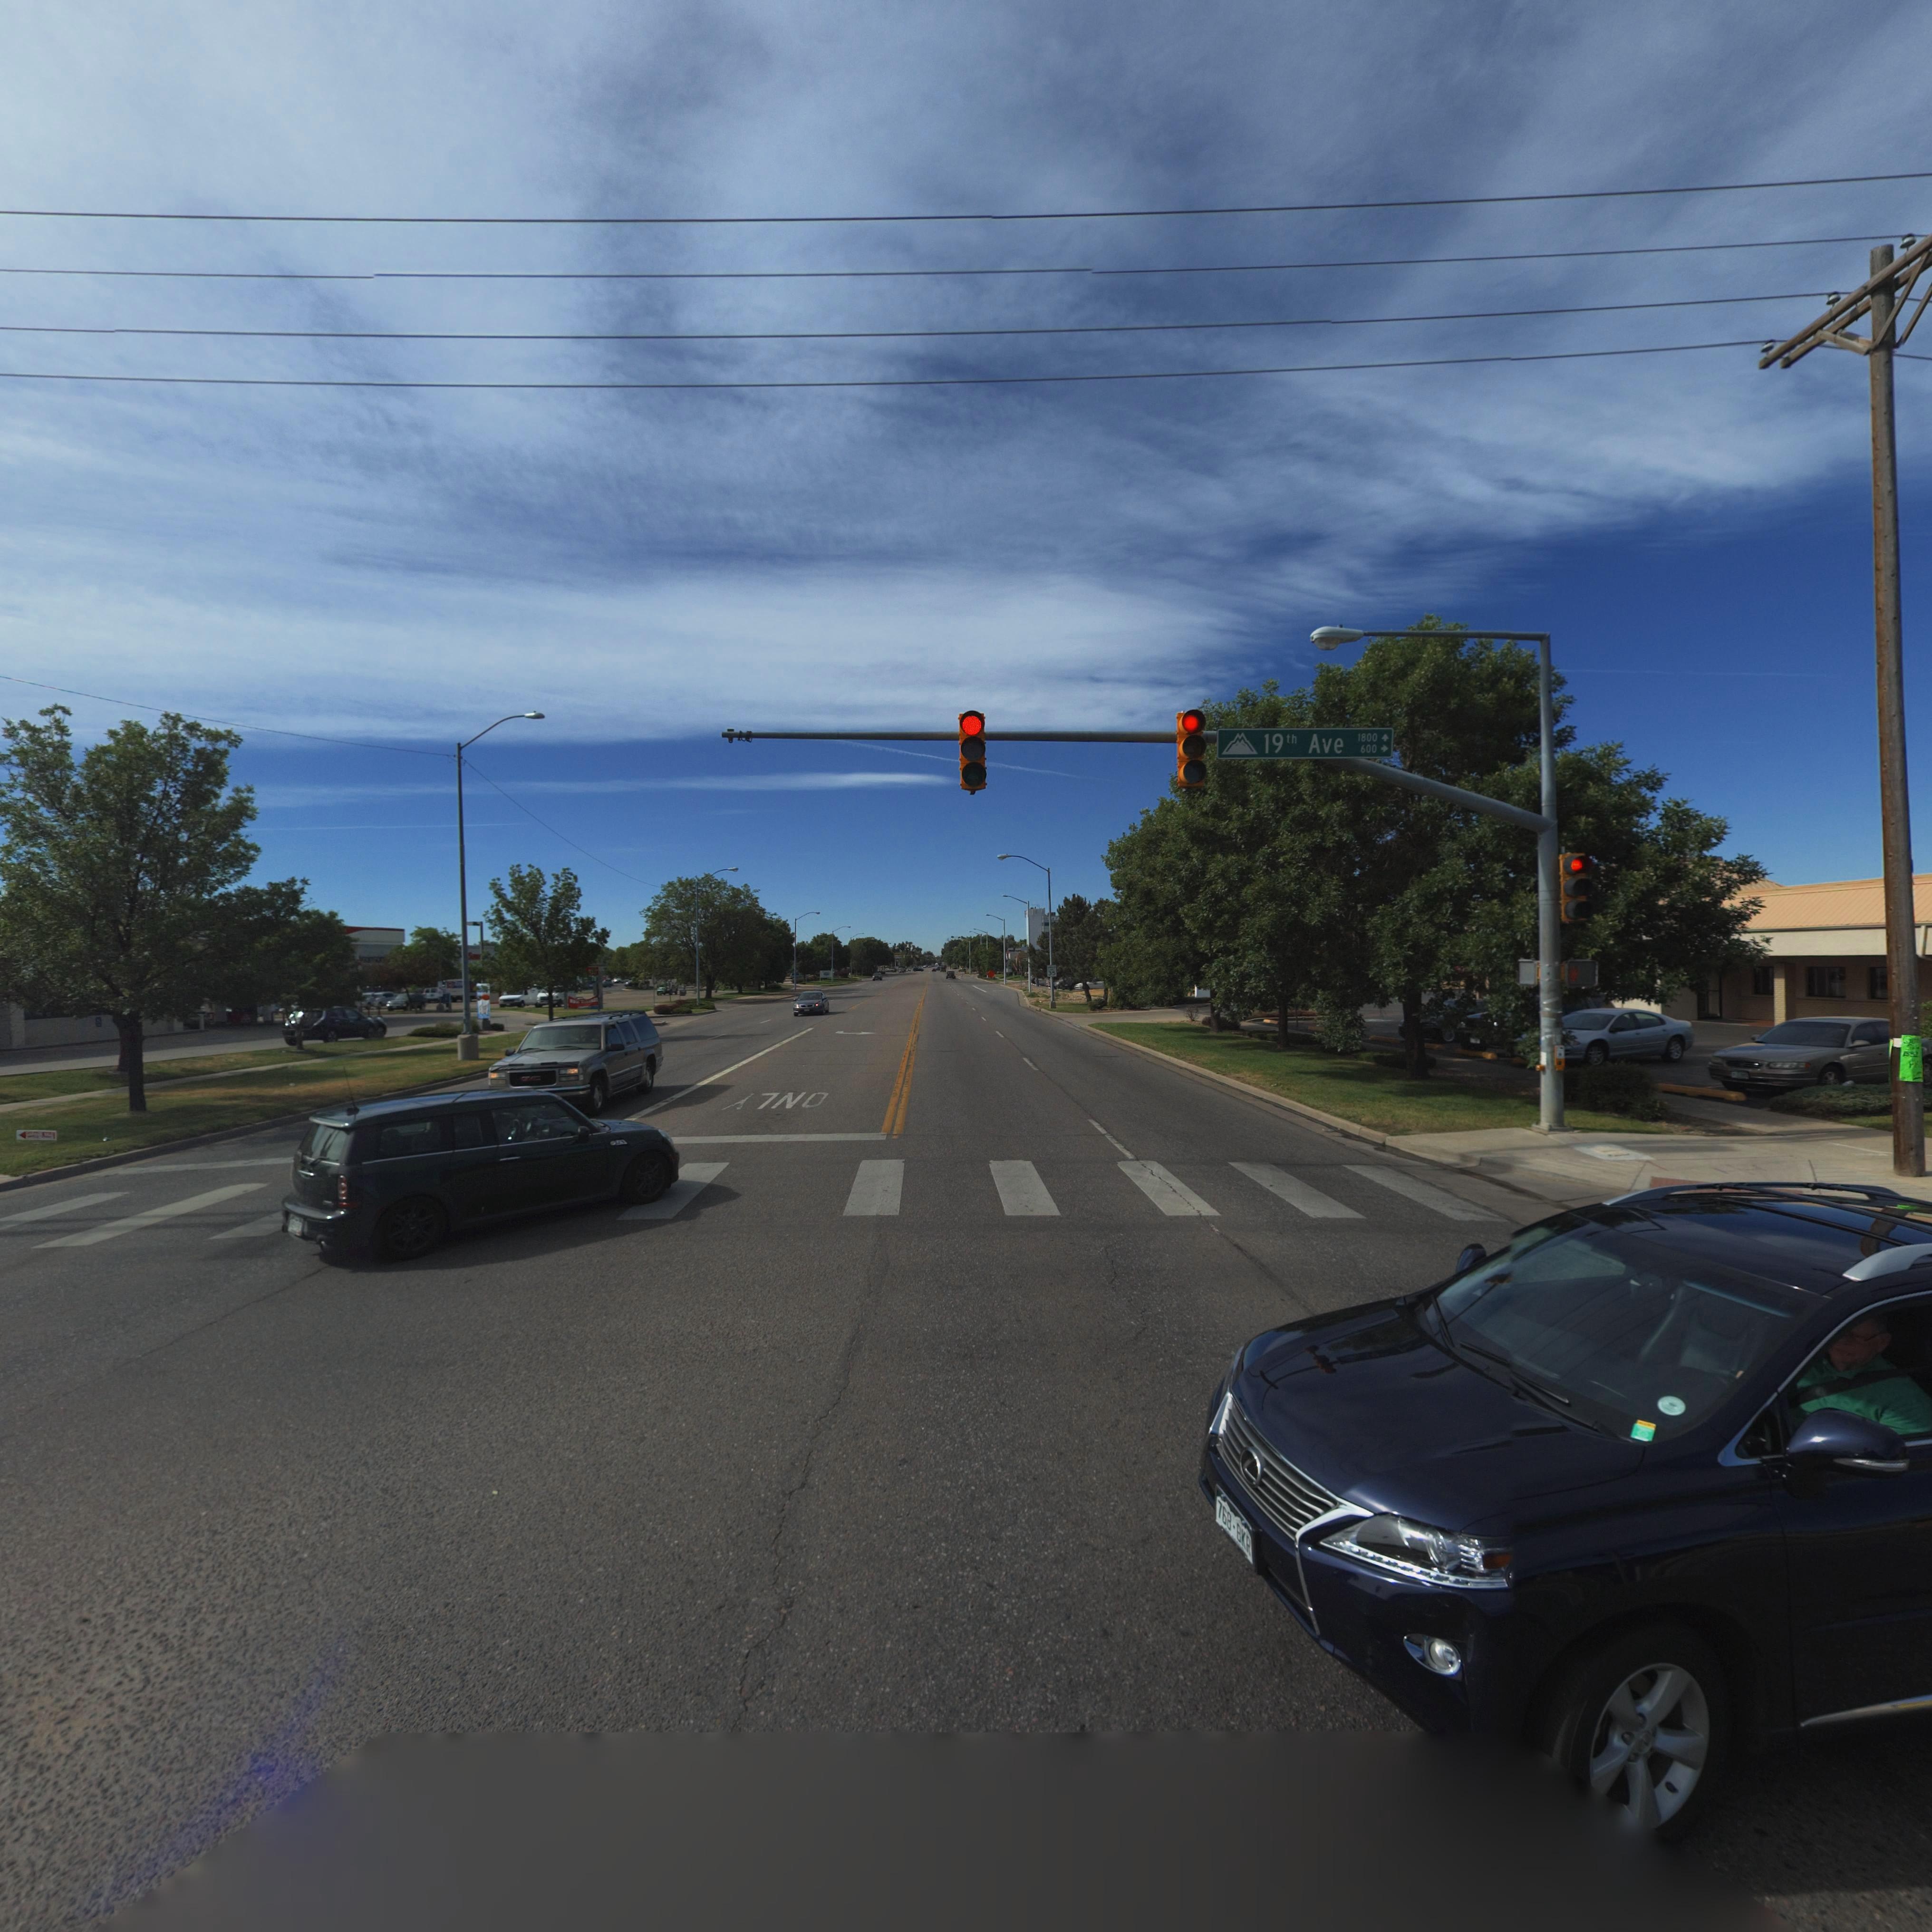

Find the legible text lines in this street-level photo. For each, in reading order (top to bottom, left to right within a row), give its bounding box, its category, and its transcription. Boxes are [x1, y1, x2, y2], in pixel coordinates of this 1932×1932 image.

[1357, 732, 1378, 743] StreetNumberRange: 1800
[1263, 733, 1345, 754] StreetName: 19th Ave
[1360, 744, 1390, 753] StreetNumberRange: 600 ->